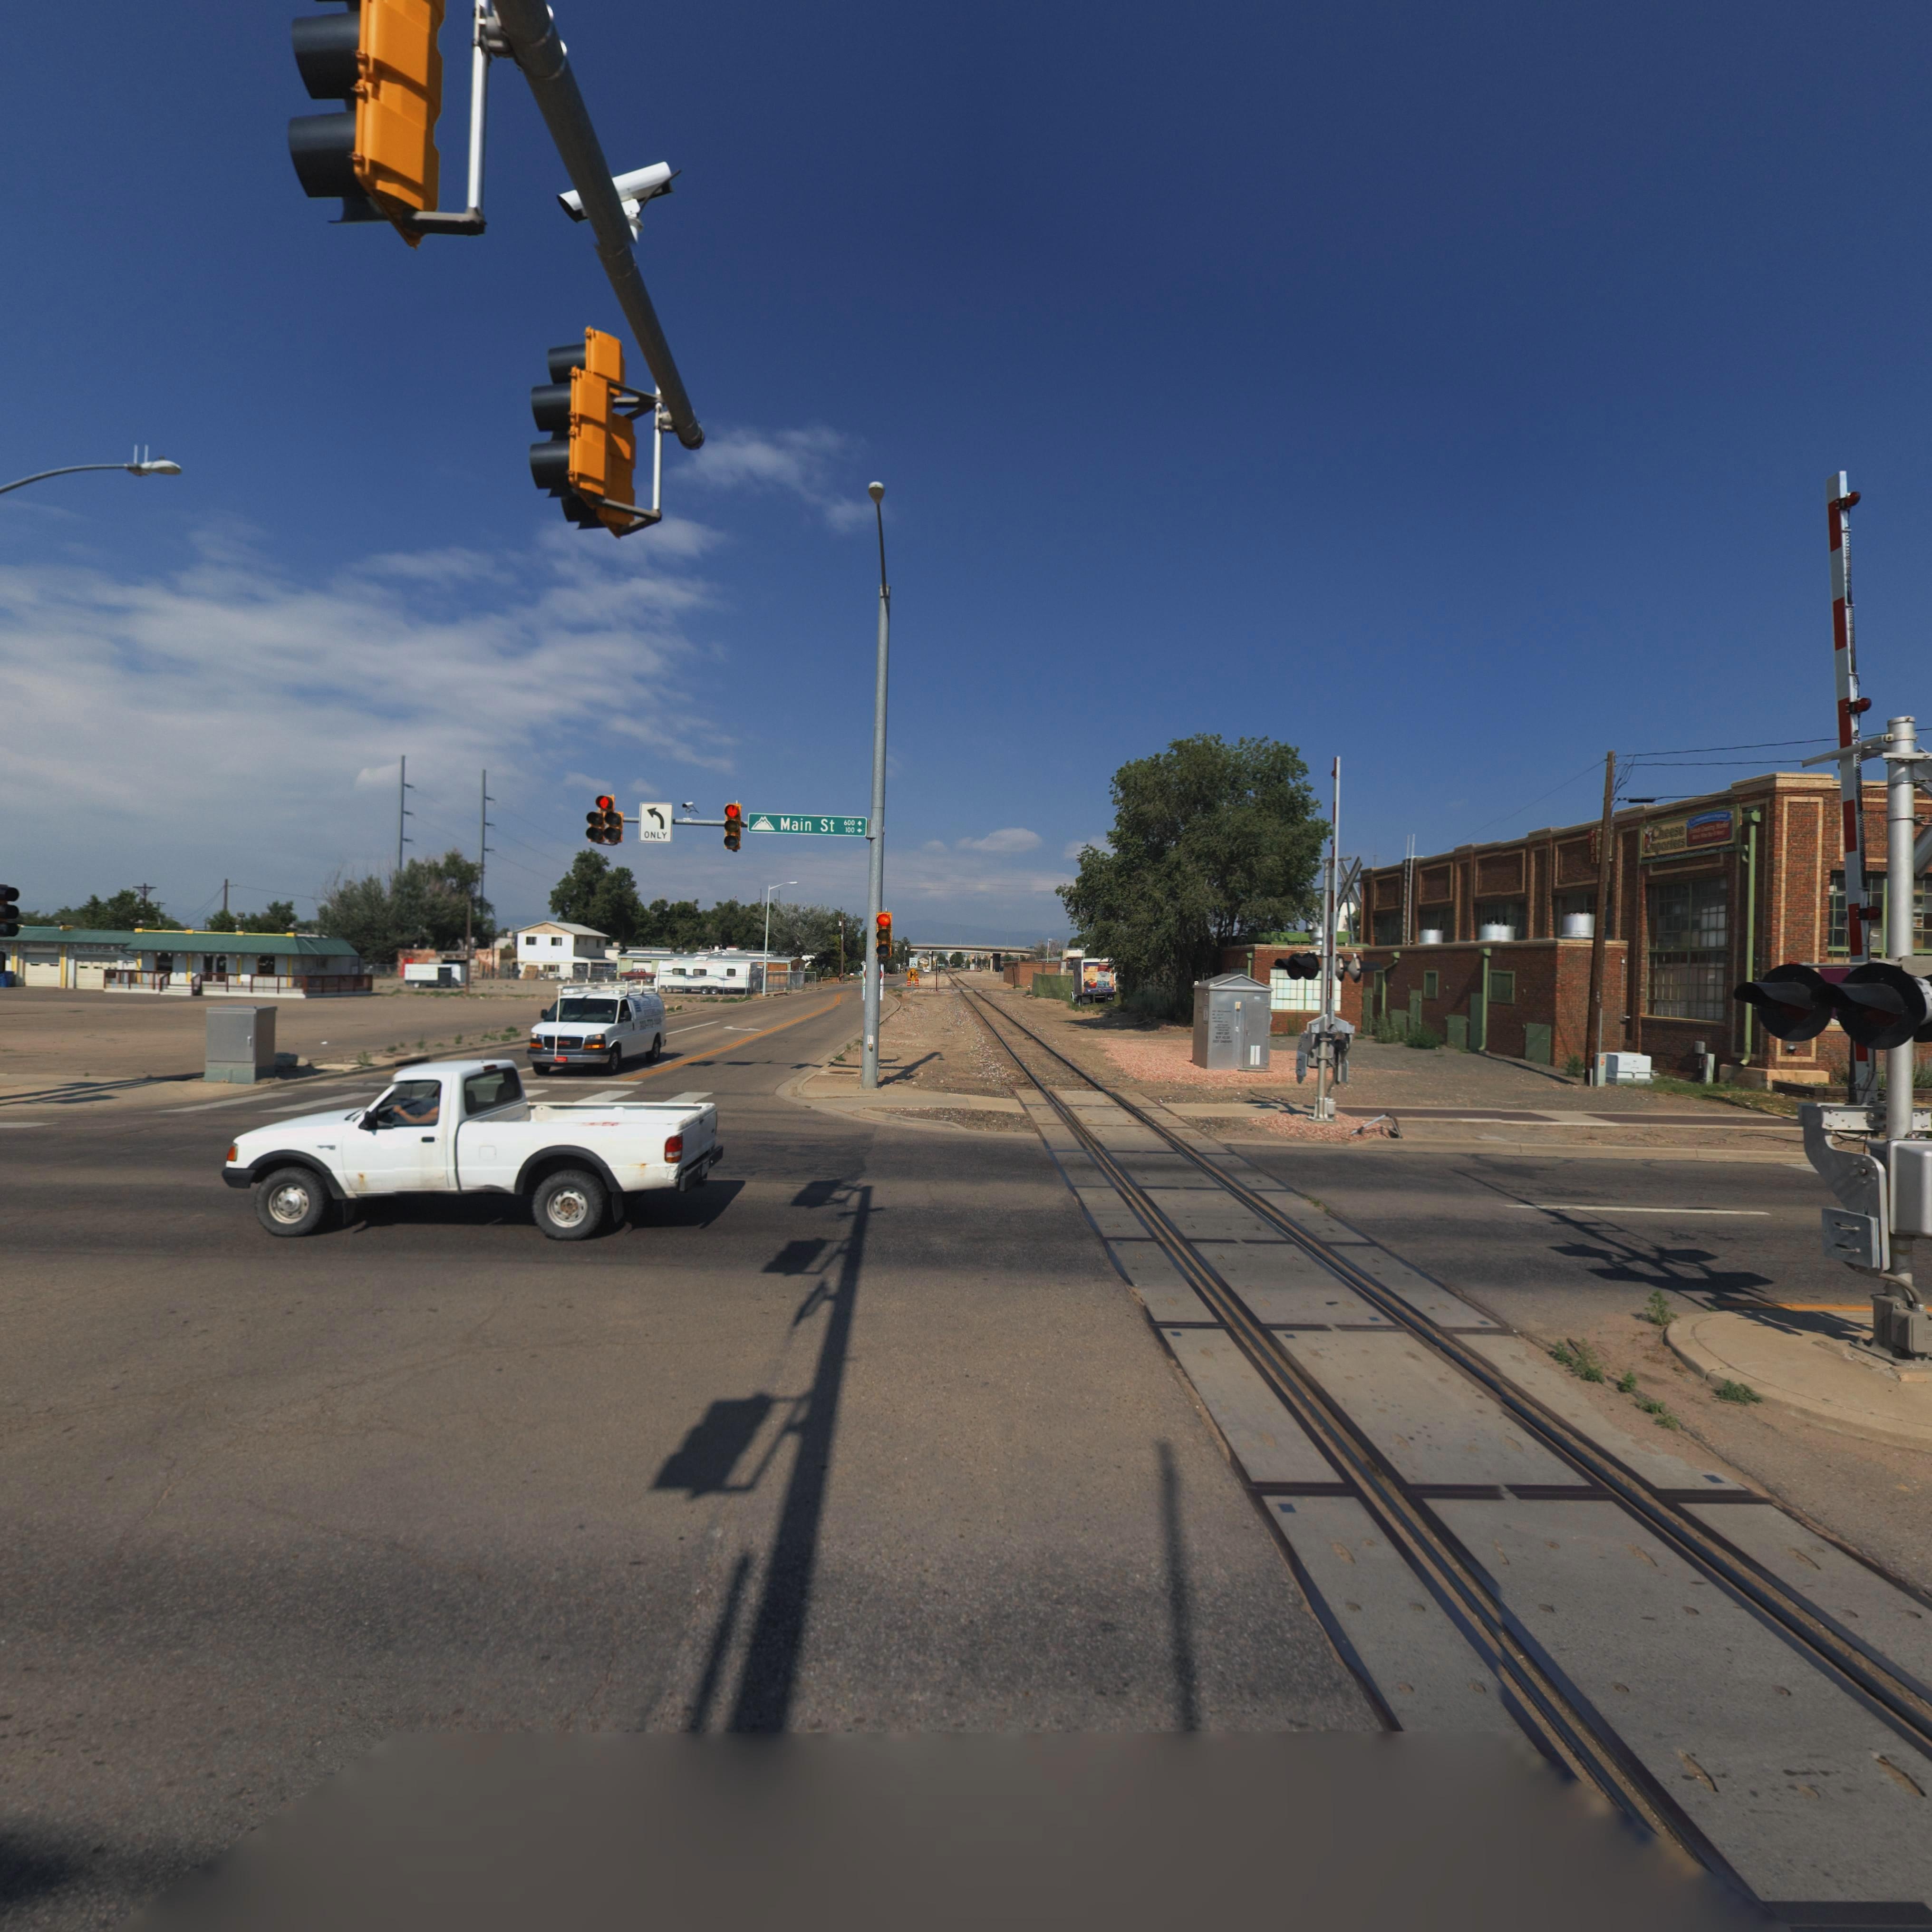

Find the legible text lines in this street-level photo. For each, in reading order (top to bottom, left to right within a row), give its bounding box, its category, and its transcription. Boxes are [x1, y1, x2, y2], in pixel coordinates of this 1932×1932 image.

[780, 817, 835, 832] StreetName: Main St
[843, 820, 855, 826] StreetNumberRange: 600
[845, 827, 862, 833] StreetNumberRange: 100 ->
[1650, 825, 1685, 840] BusinessName: Cheese
[1644, 838, 1686, 856] BusinessName: Importers